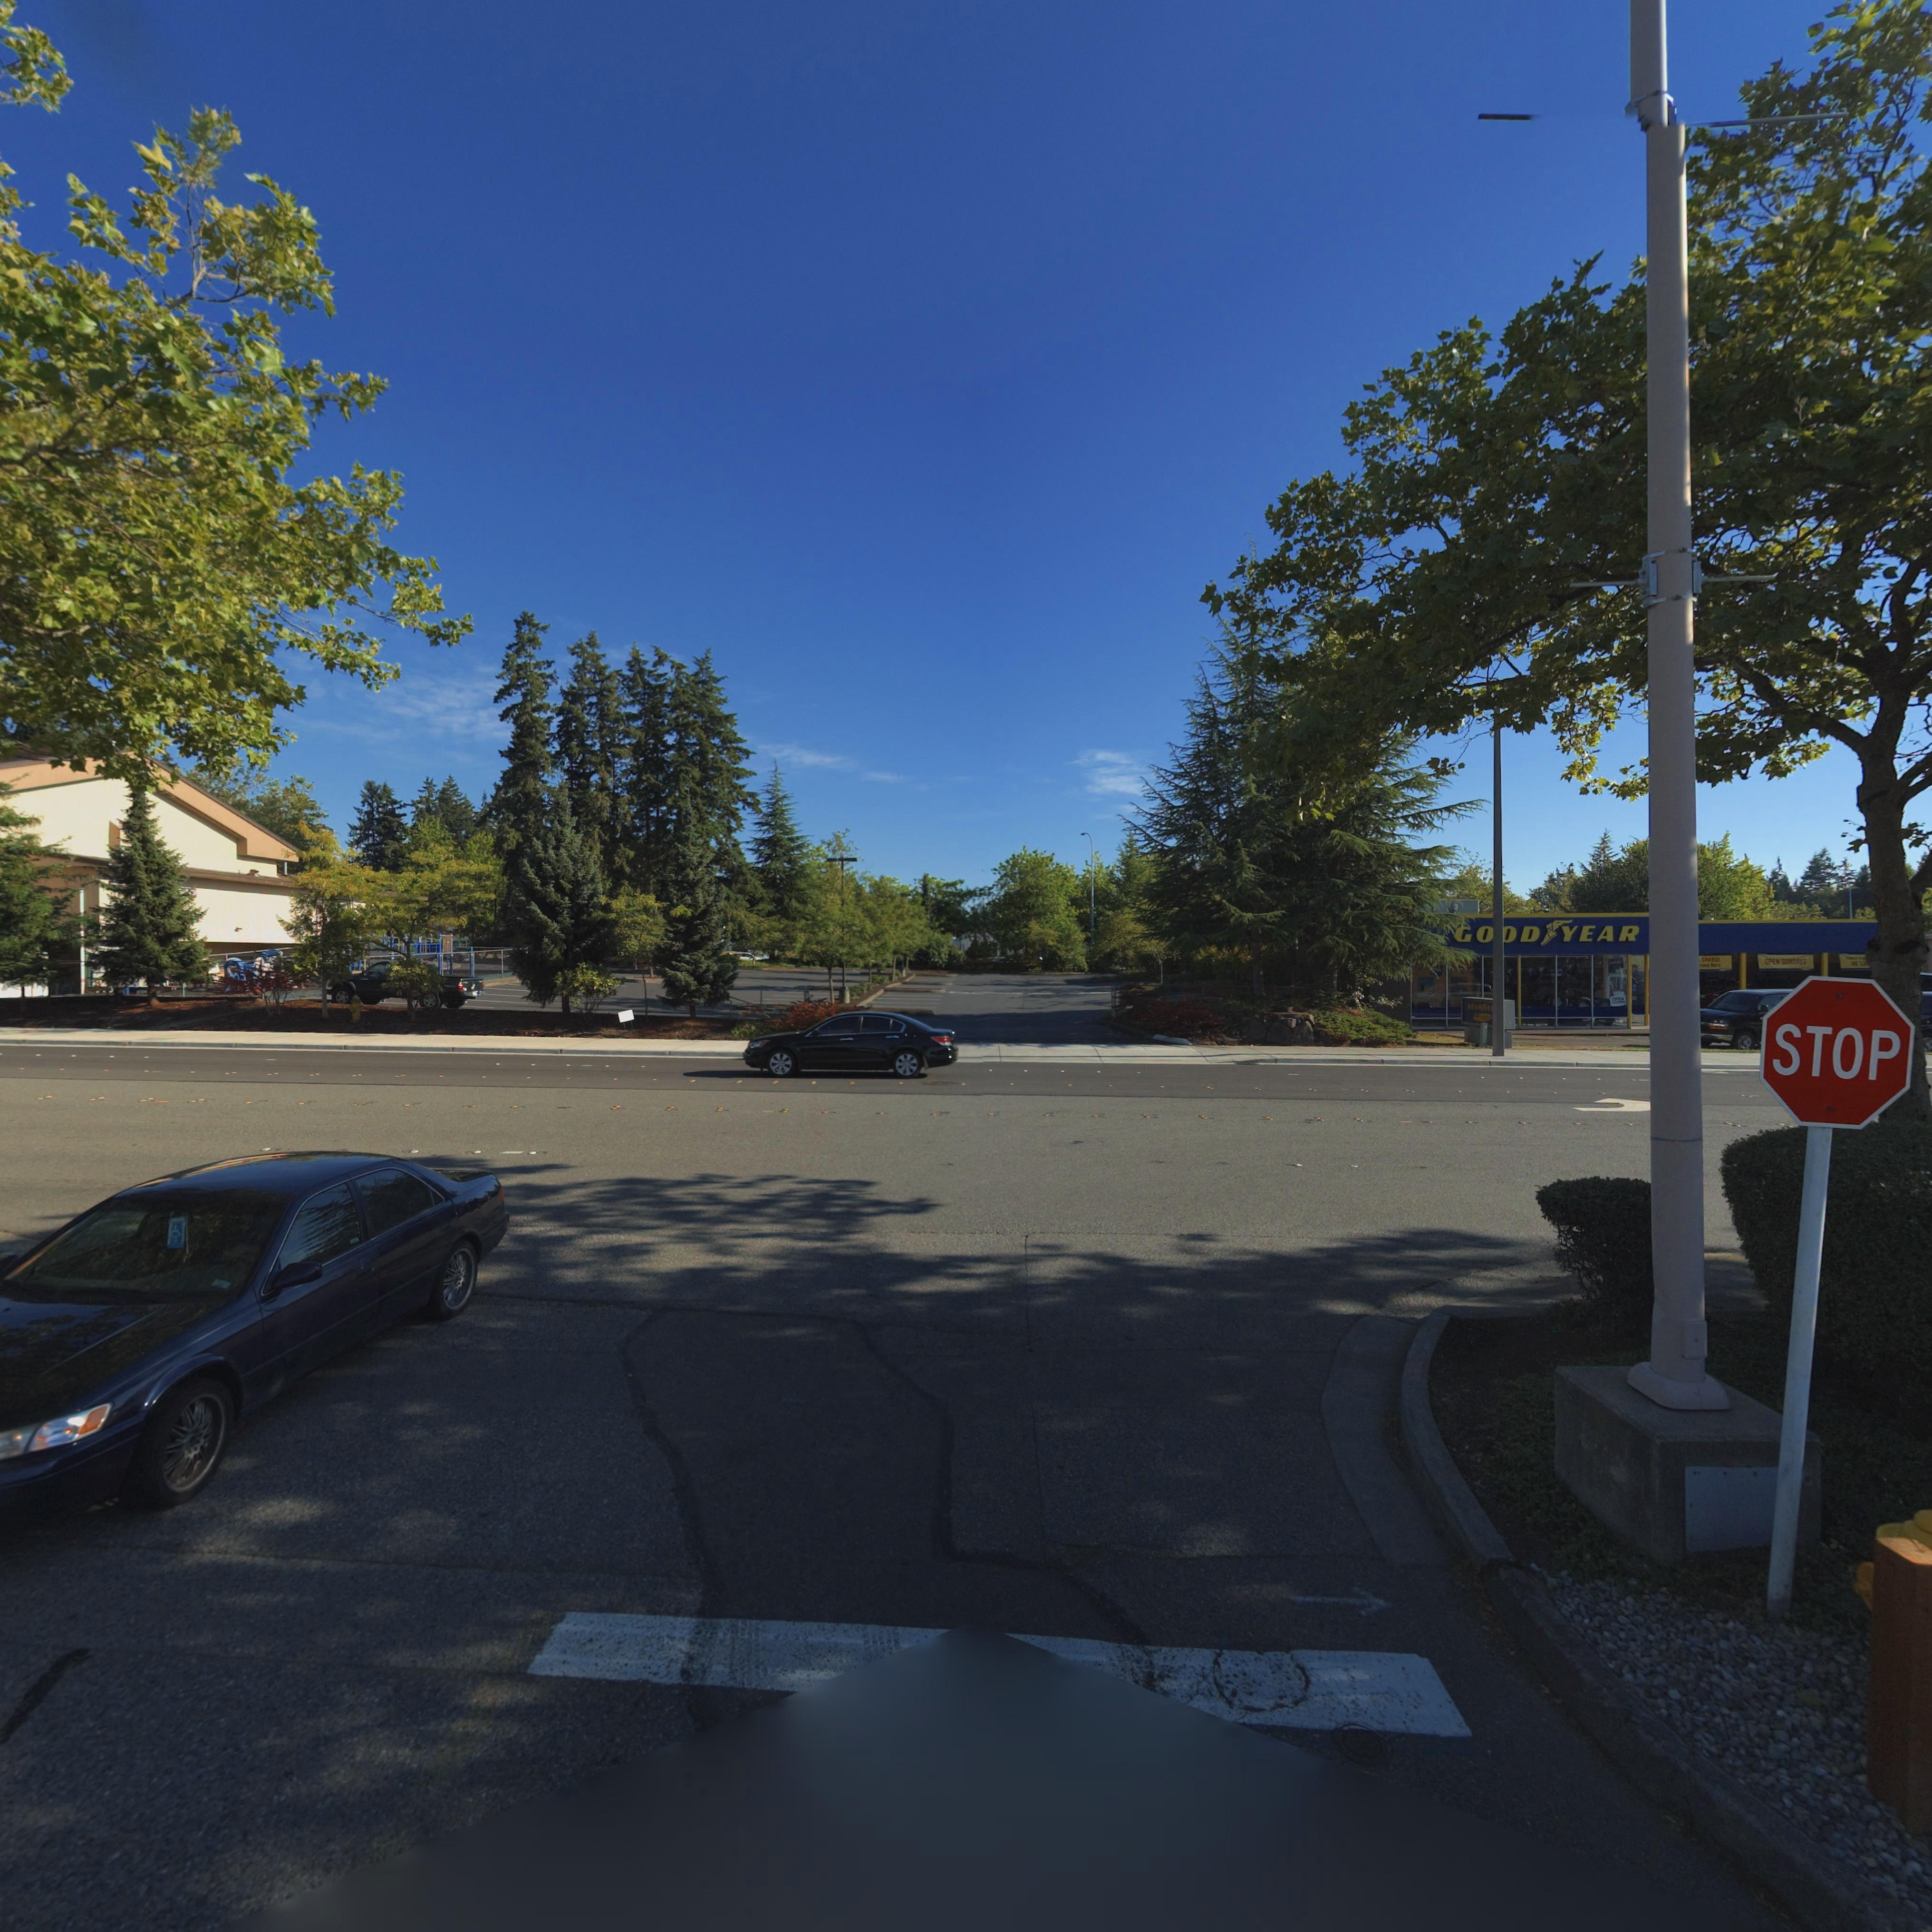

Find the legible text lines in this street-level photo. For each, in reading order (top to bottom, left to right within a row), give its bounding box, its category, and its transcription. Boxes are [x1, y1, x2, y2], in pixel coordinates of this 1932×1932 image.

[1454, 924, 1641, 943] BusinessName: GOOD*YEAR